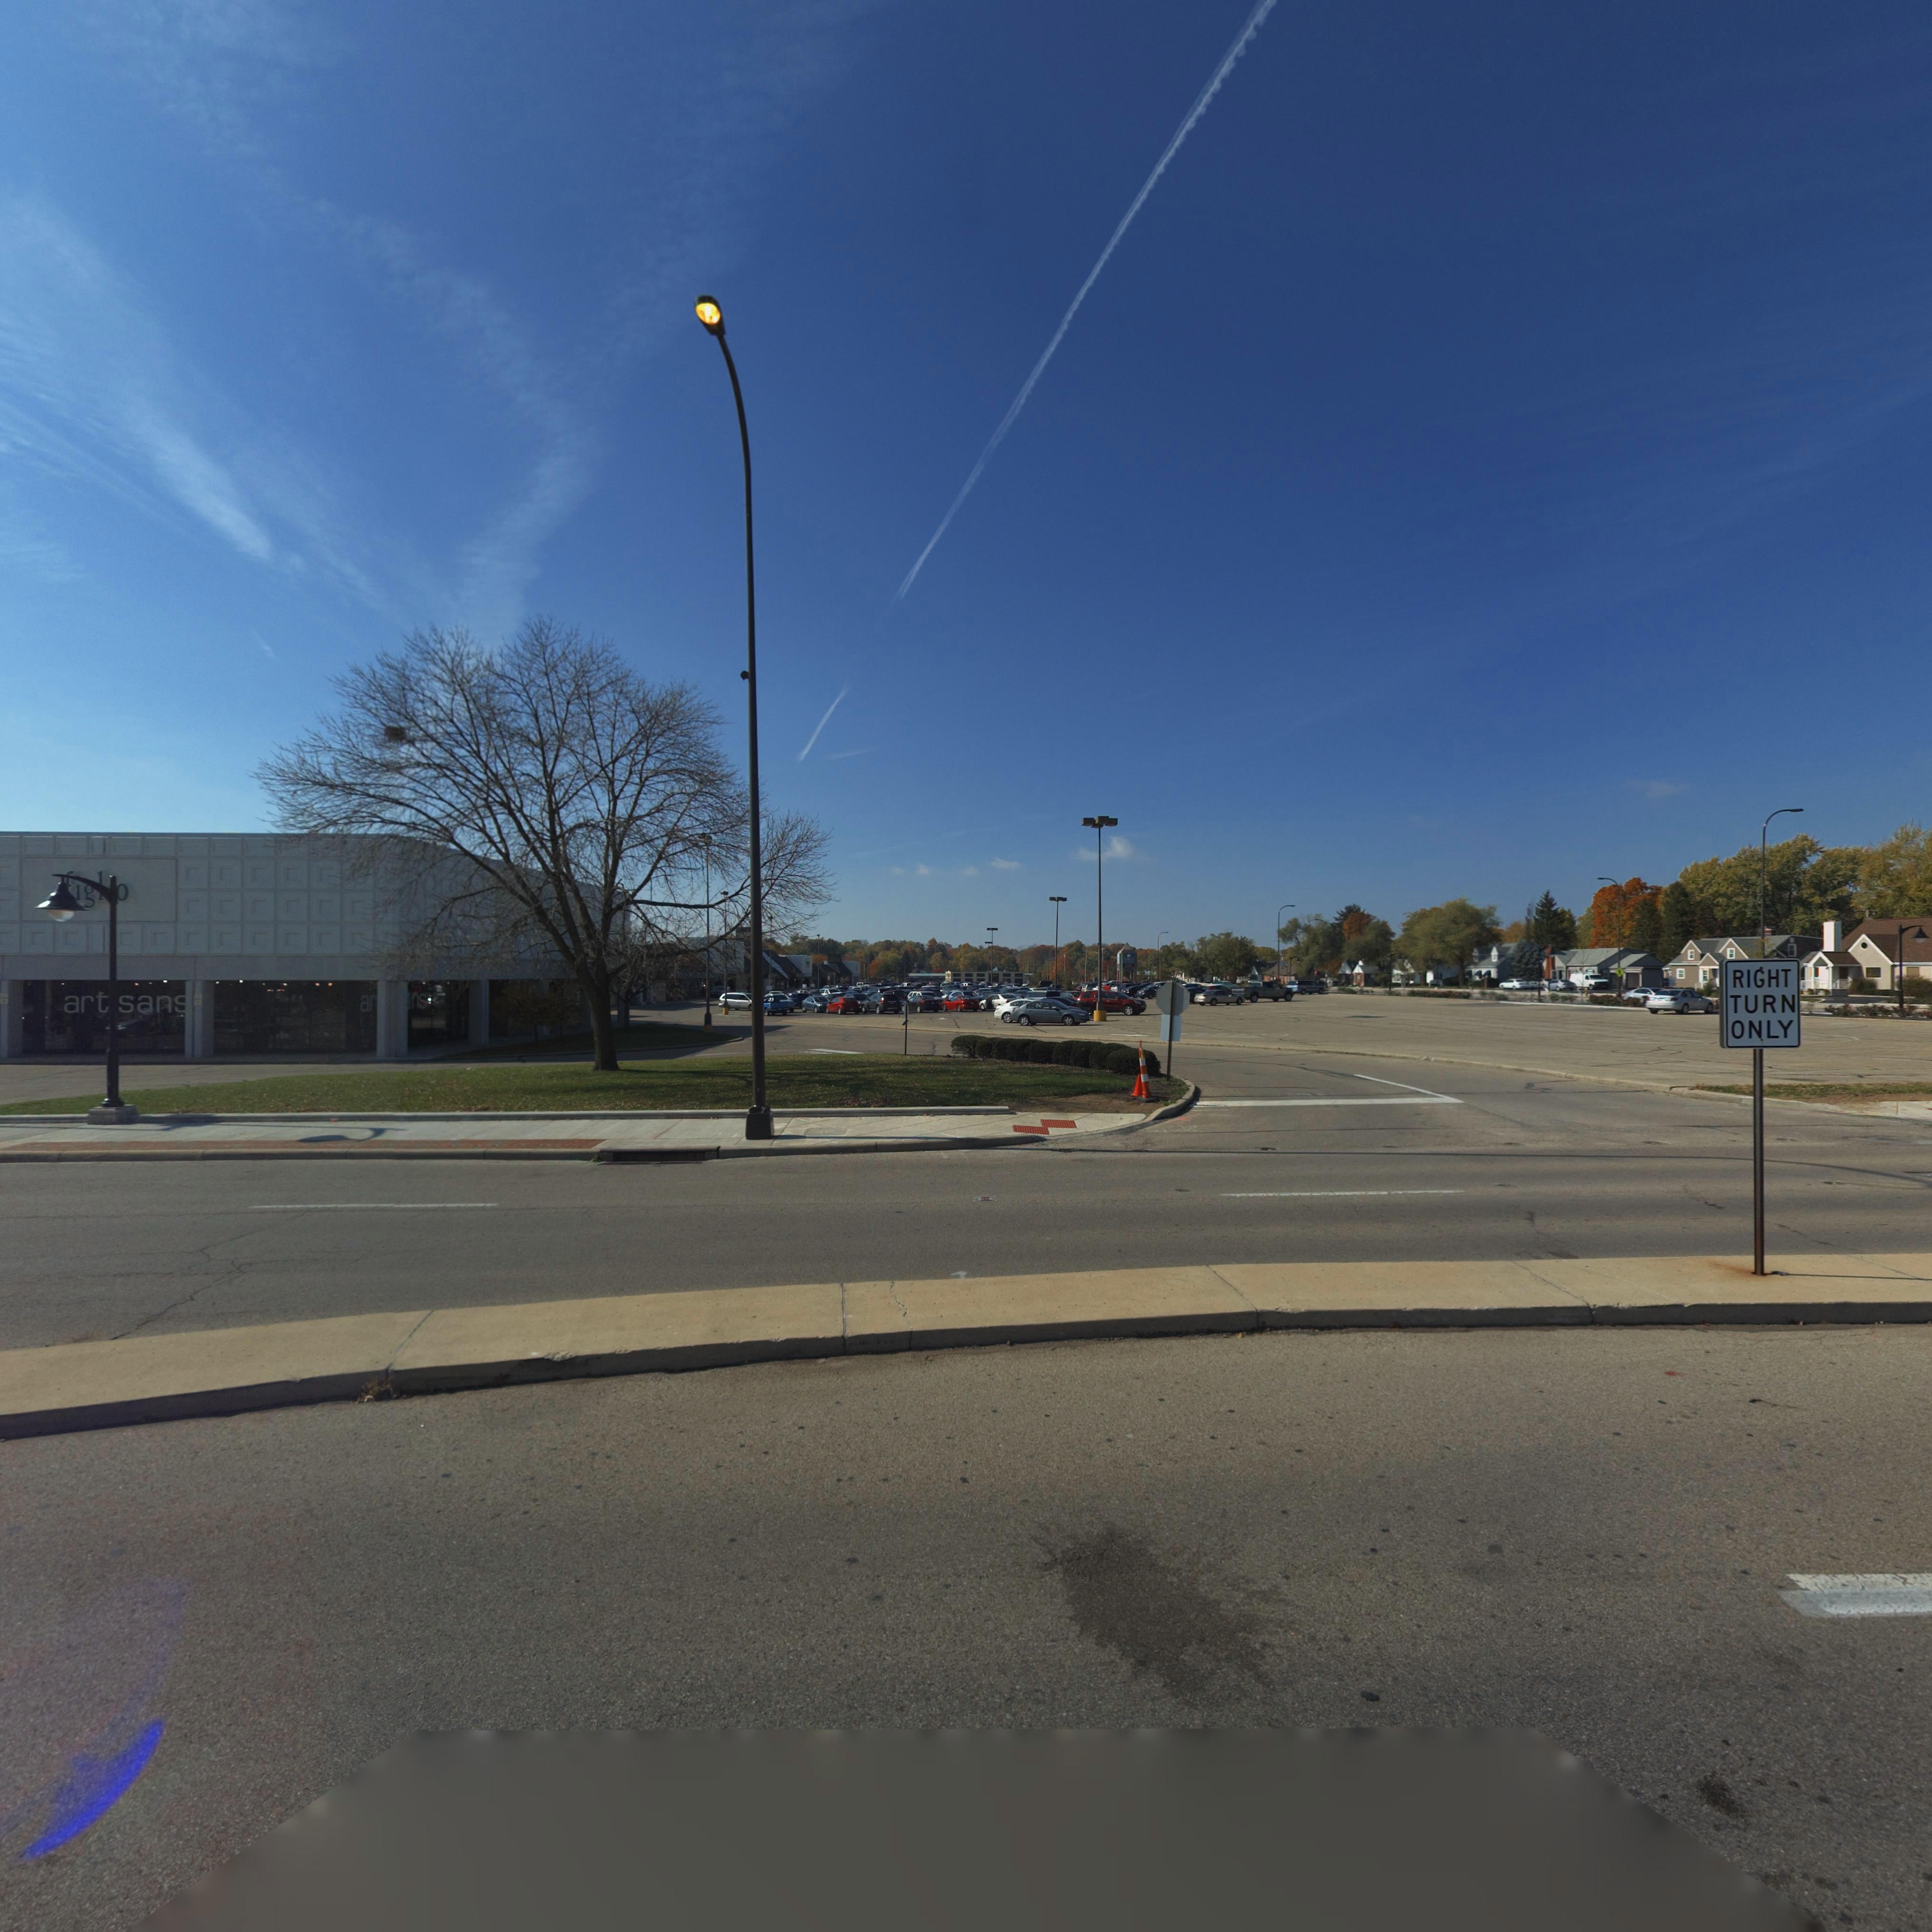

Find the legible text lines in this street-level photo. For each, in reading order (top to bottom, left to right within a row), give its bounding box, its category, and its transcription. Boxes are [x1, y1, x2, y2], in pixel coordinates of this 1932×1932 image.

[65, 869, 130, 908] BusinessName: *ig**o
[1732, 968, 1792, 989] None: RIGHT
[63, 991, 173, 1014] None: art*san
[360, 993, 427, 1012] None: ar****ns
[1729, 994, 1796, 1014] None: TURN
[1731, 1019, 1795, 1040] None: ONLY